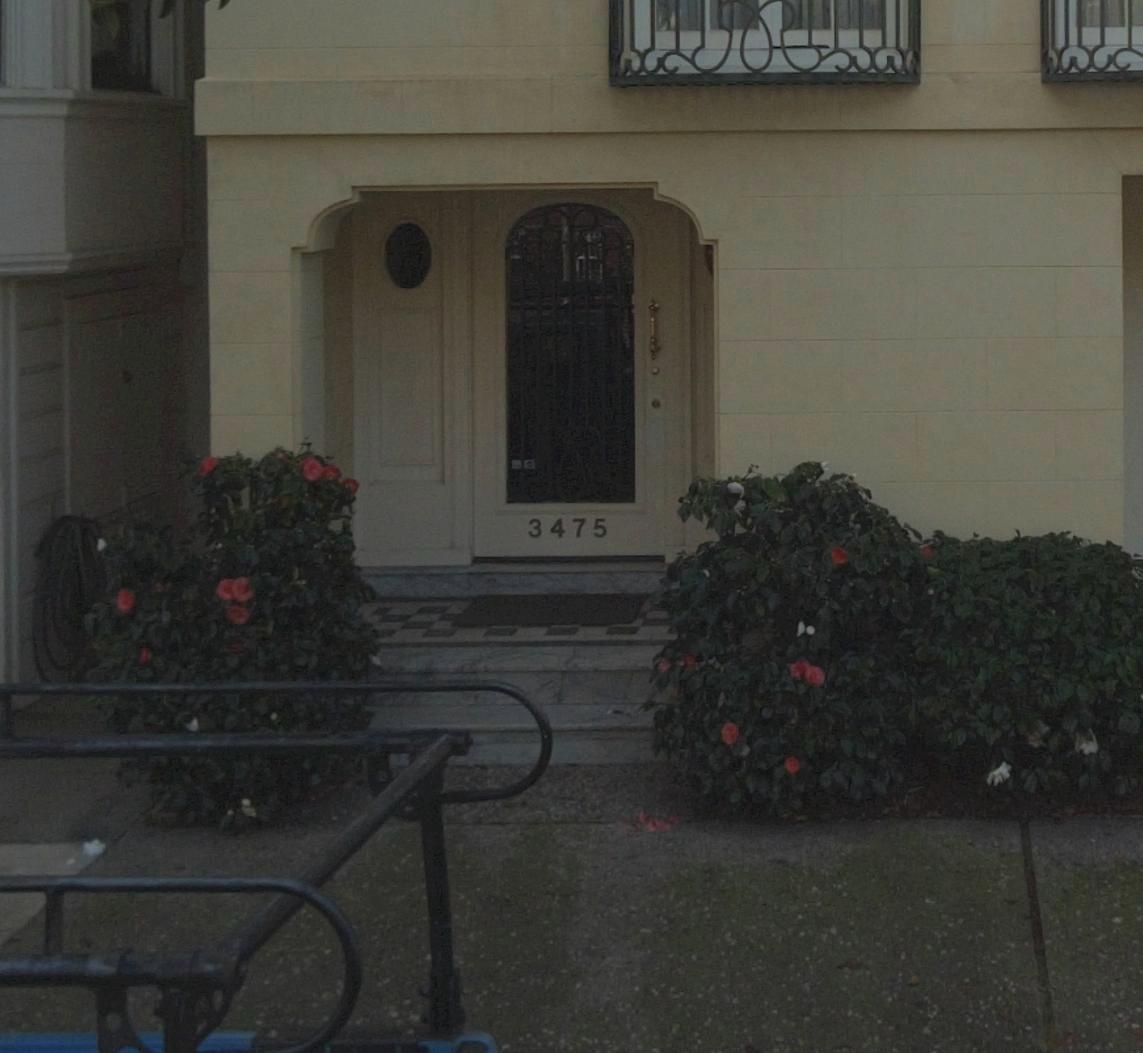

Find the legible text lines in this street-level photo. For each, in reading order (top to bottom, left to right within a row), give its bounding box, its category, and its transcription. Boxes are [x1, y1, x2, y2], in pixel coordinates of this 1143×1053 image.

[525, 515, 609, 541] StreetNumber: 3475